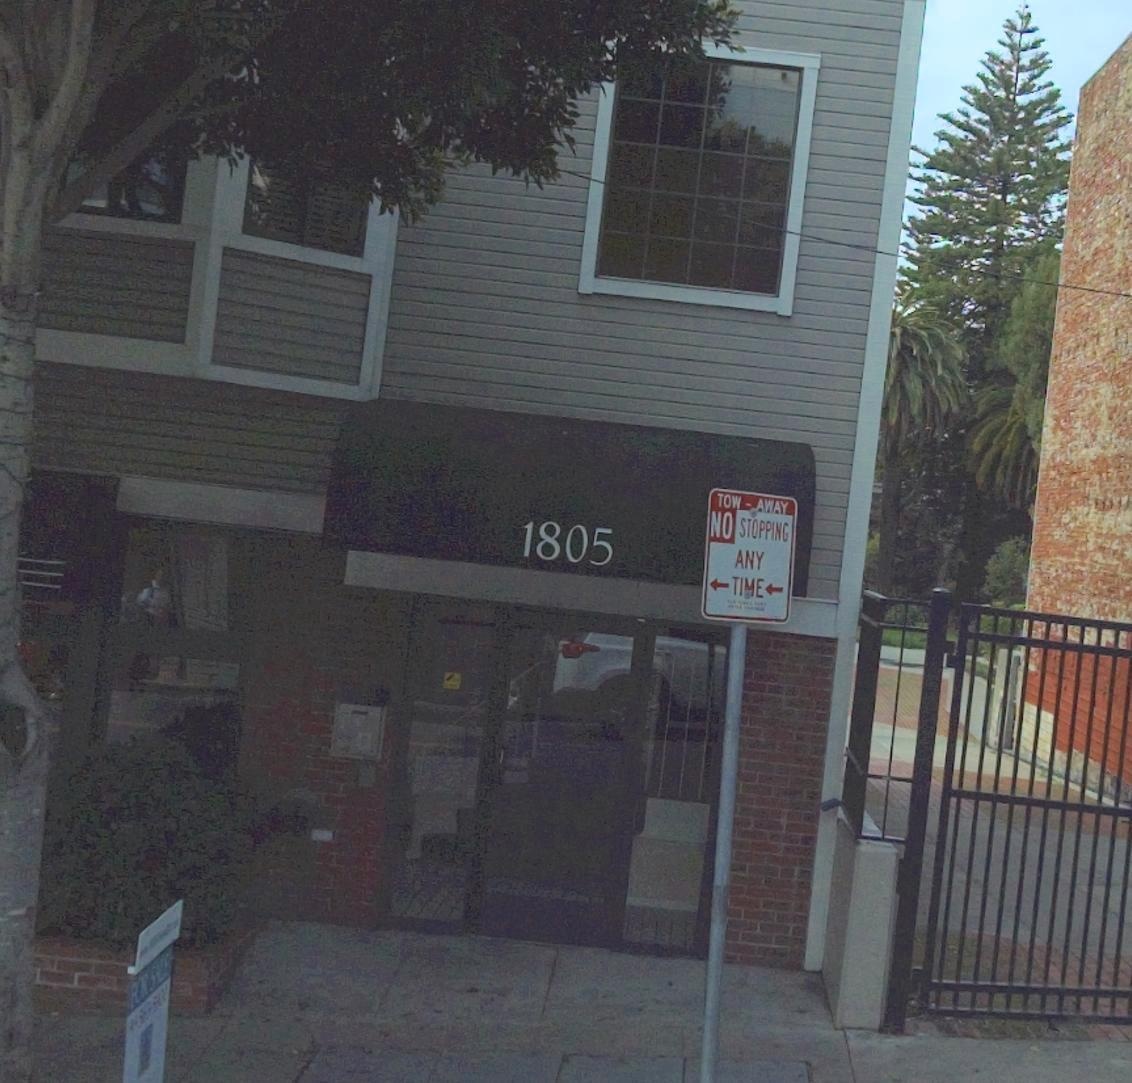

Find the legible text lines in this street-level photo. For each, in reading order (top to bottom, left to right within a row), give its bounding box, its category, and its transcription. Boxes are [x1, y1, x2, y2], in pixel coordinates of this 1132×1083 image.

[713, 490, 791, 516] None: TOW-AWAY
[519, 517, 617, 569] StreetNumber: 1805
[731, 546, 768, 574] None: ANY
[708, 507, 793, 545] None: NO STOPPING
[728, 573, 766, 600] None: TI*E
[130, 962, 158, 1011] None: R R S